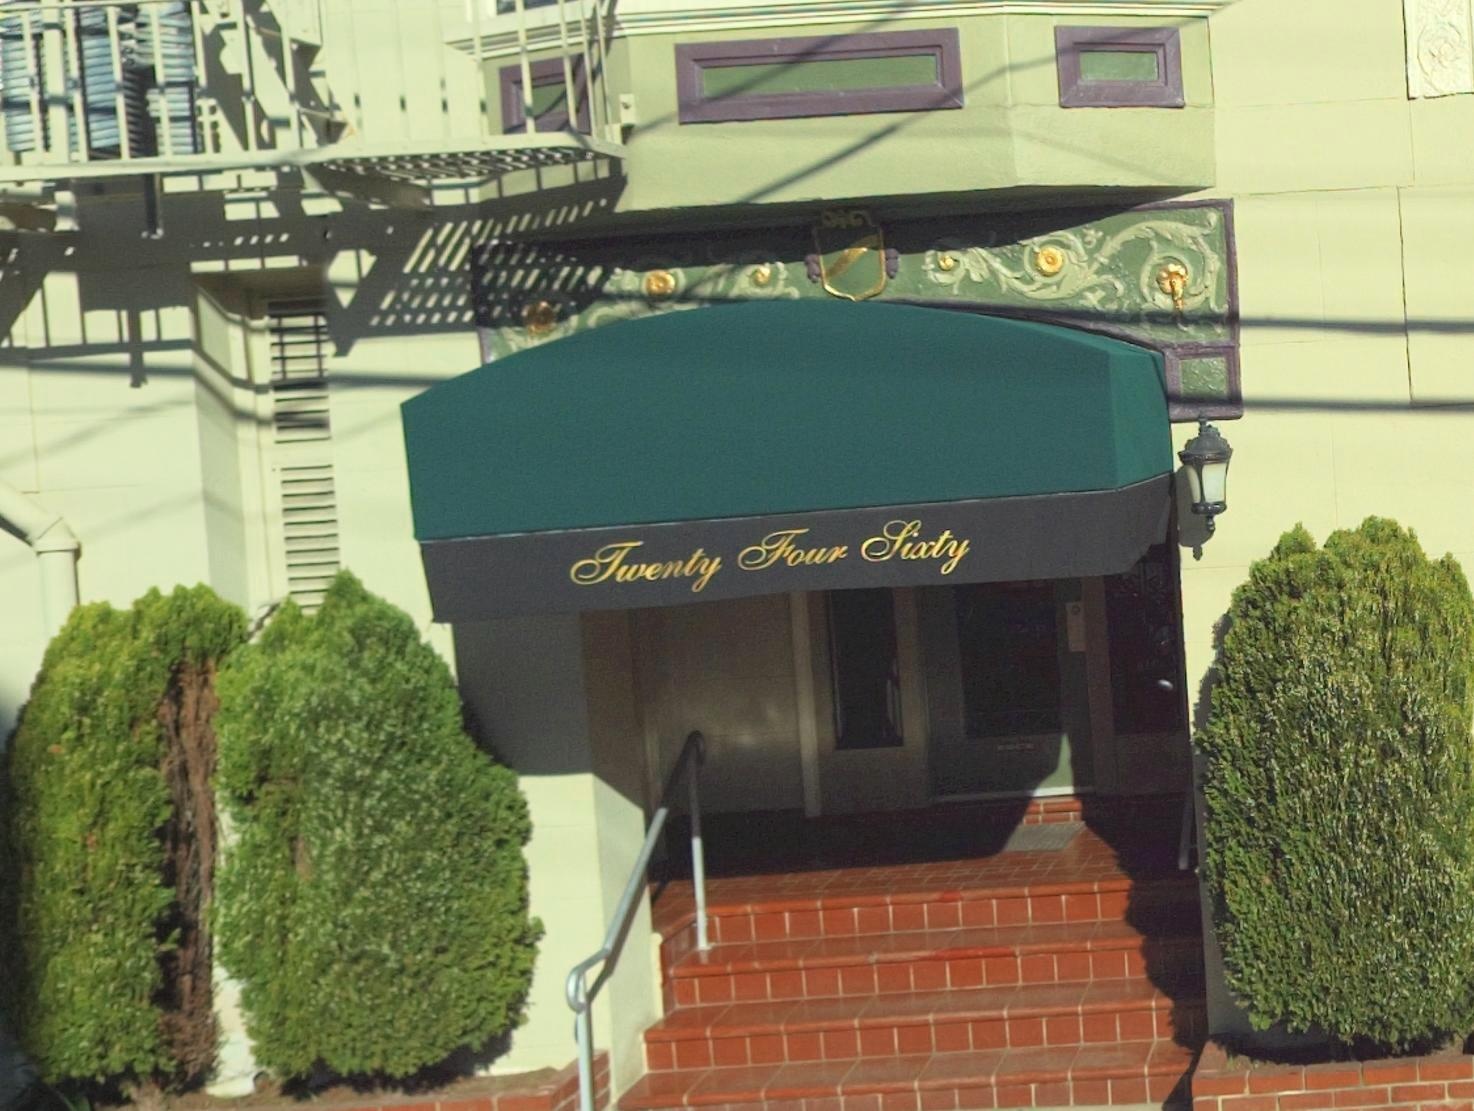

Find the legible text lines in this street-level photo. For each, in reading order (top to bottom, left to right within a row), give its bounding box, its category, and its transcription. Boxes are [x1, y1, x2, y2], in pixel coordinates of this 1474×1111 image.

[562, 515, 979, 596] StreetNumber: TWENTY FOUR SIXTY